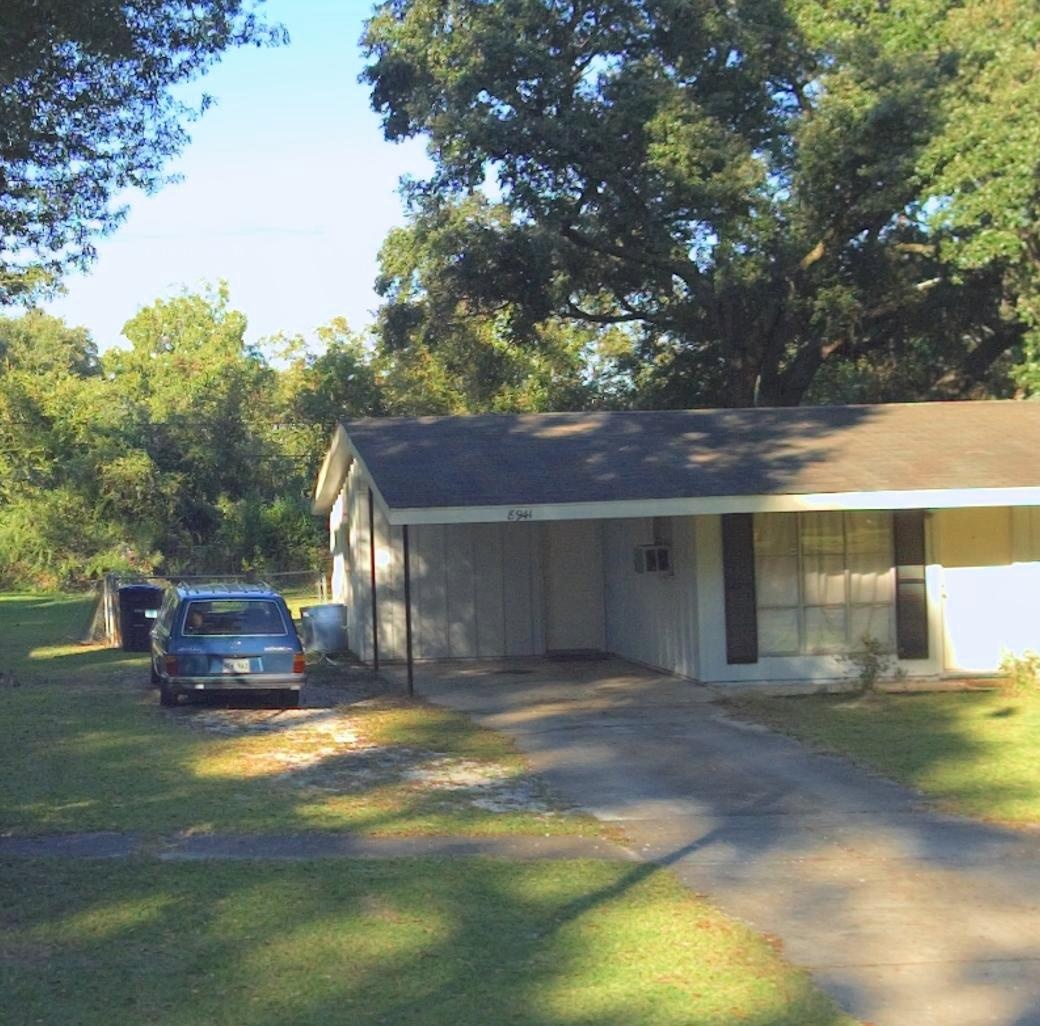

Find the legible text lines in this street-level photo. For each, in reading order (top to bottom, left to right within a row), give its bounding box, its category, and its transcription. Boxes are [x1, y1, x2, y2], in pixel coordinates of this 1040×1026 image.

[506, 509, 532, 521] StreetNumber: 8941